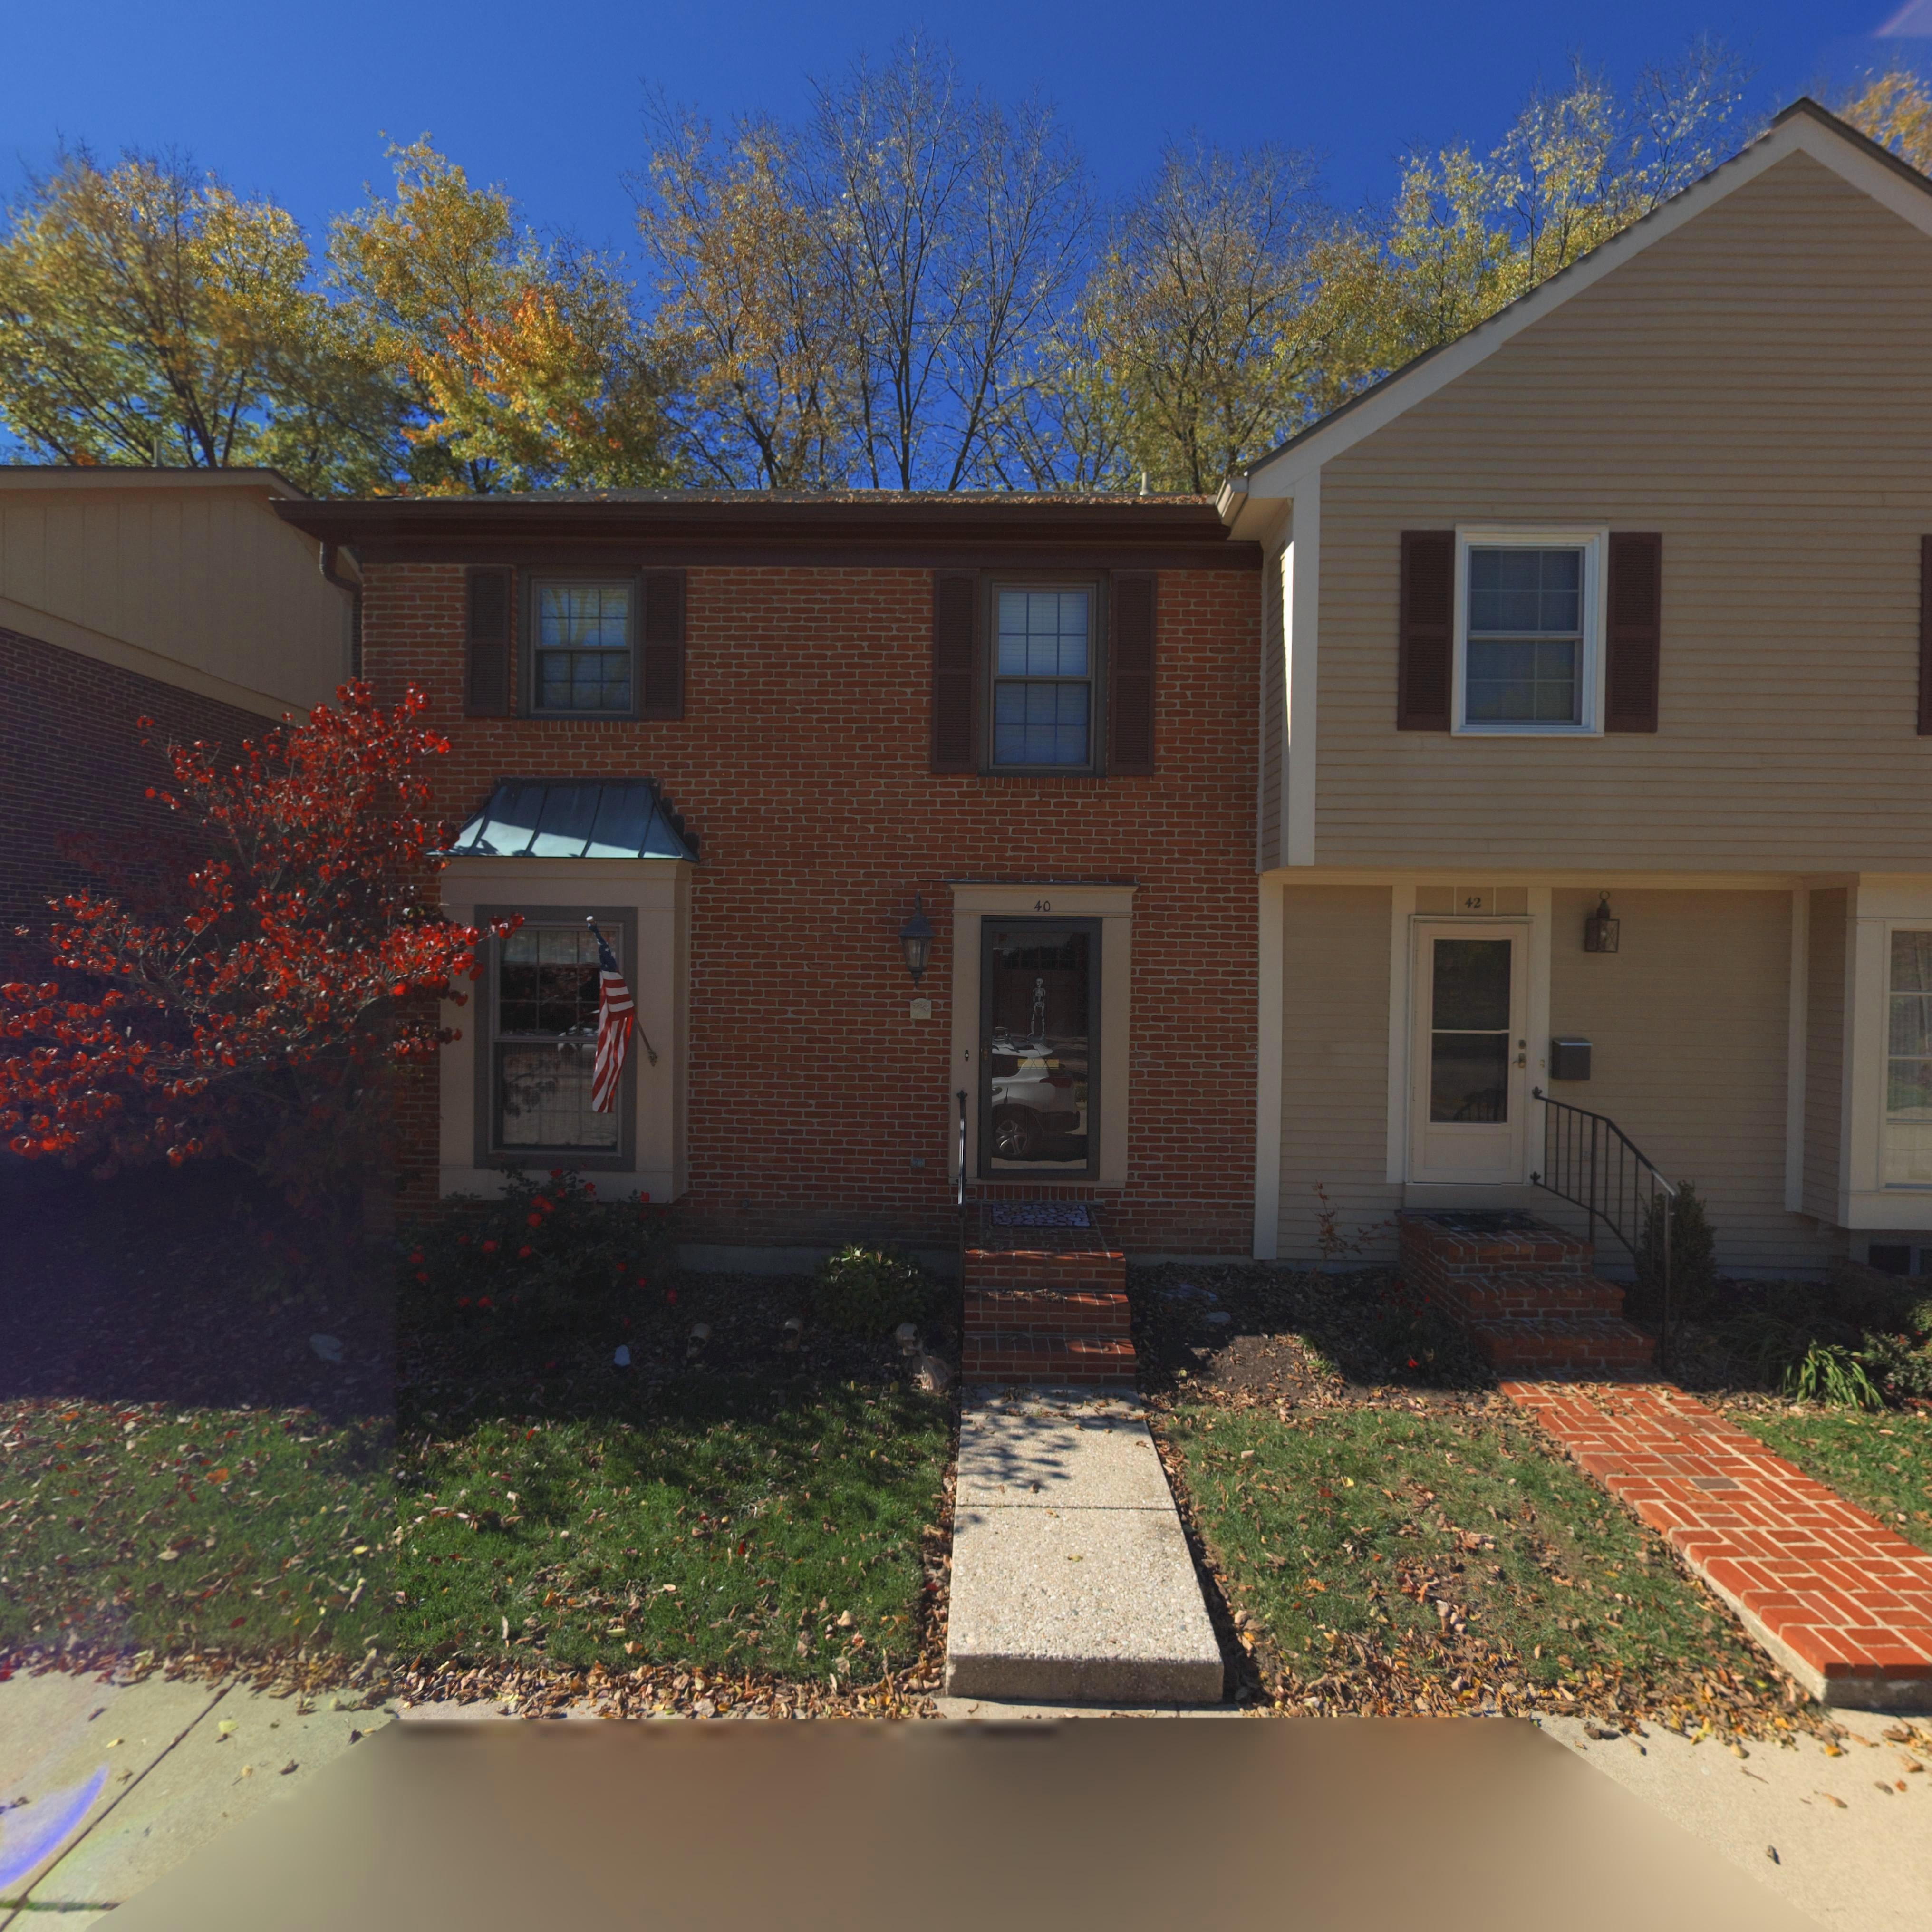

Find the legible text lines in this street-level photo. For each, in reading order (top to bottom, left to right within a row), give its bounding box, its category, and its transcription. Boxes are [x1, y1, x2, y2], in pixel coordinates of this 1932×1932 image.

[1033, 899, 1051, 912] StreetNumber: 40
[1464, 896, 1482, 910] StreetNumber: 42